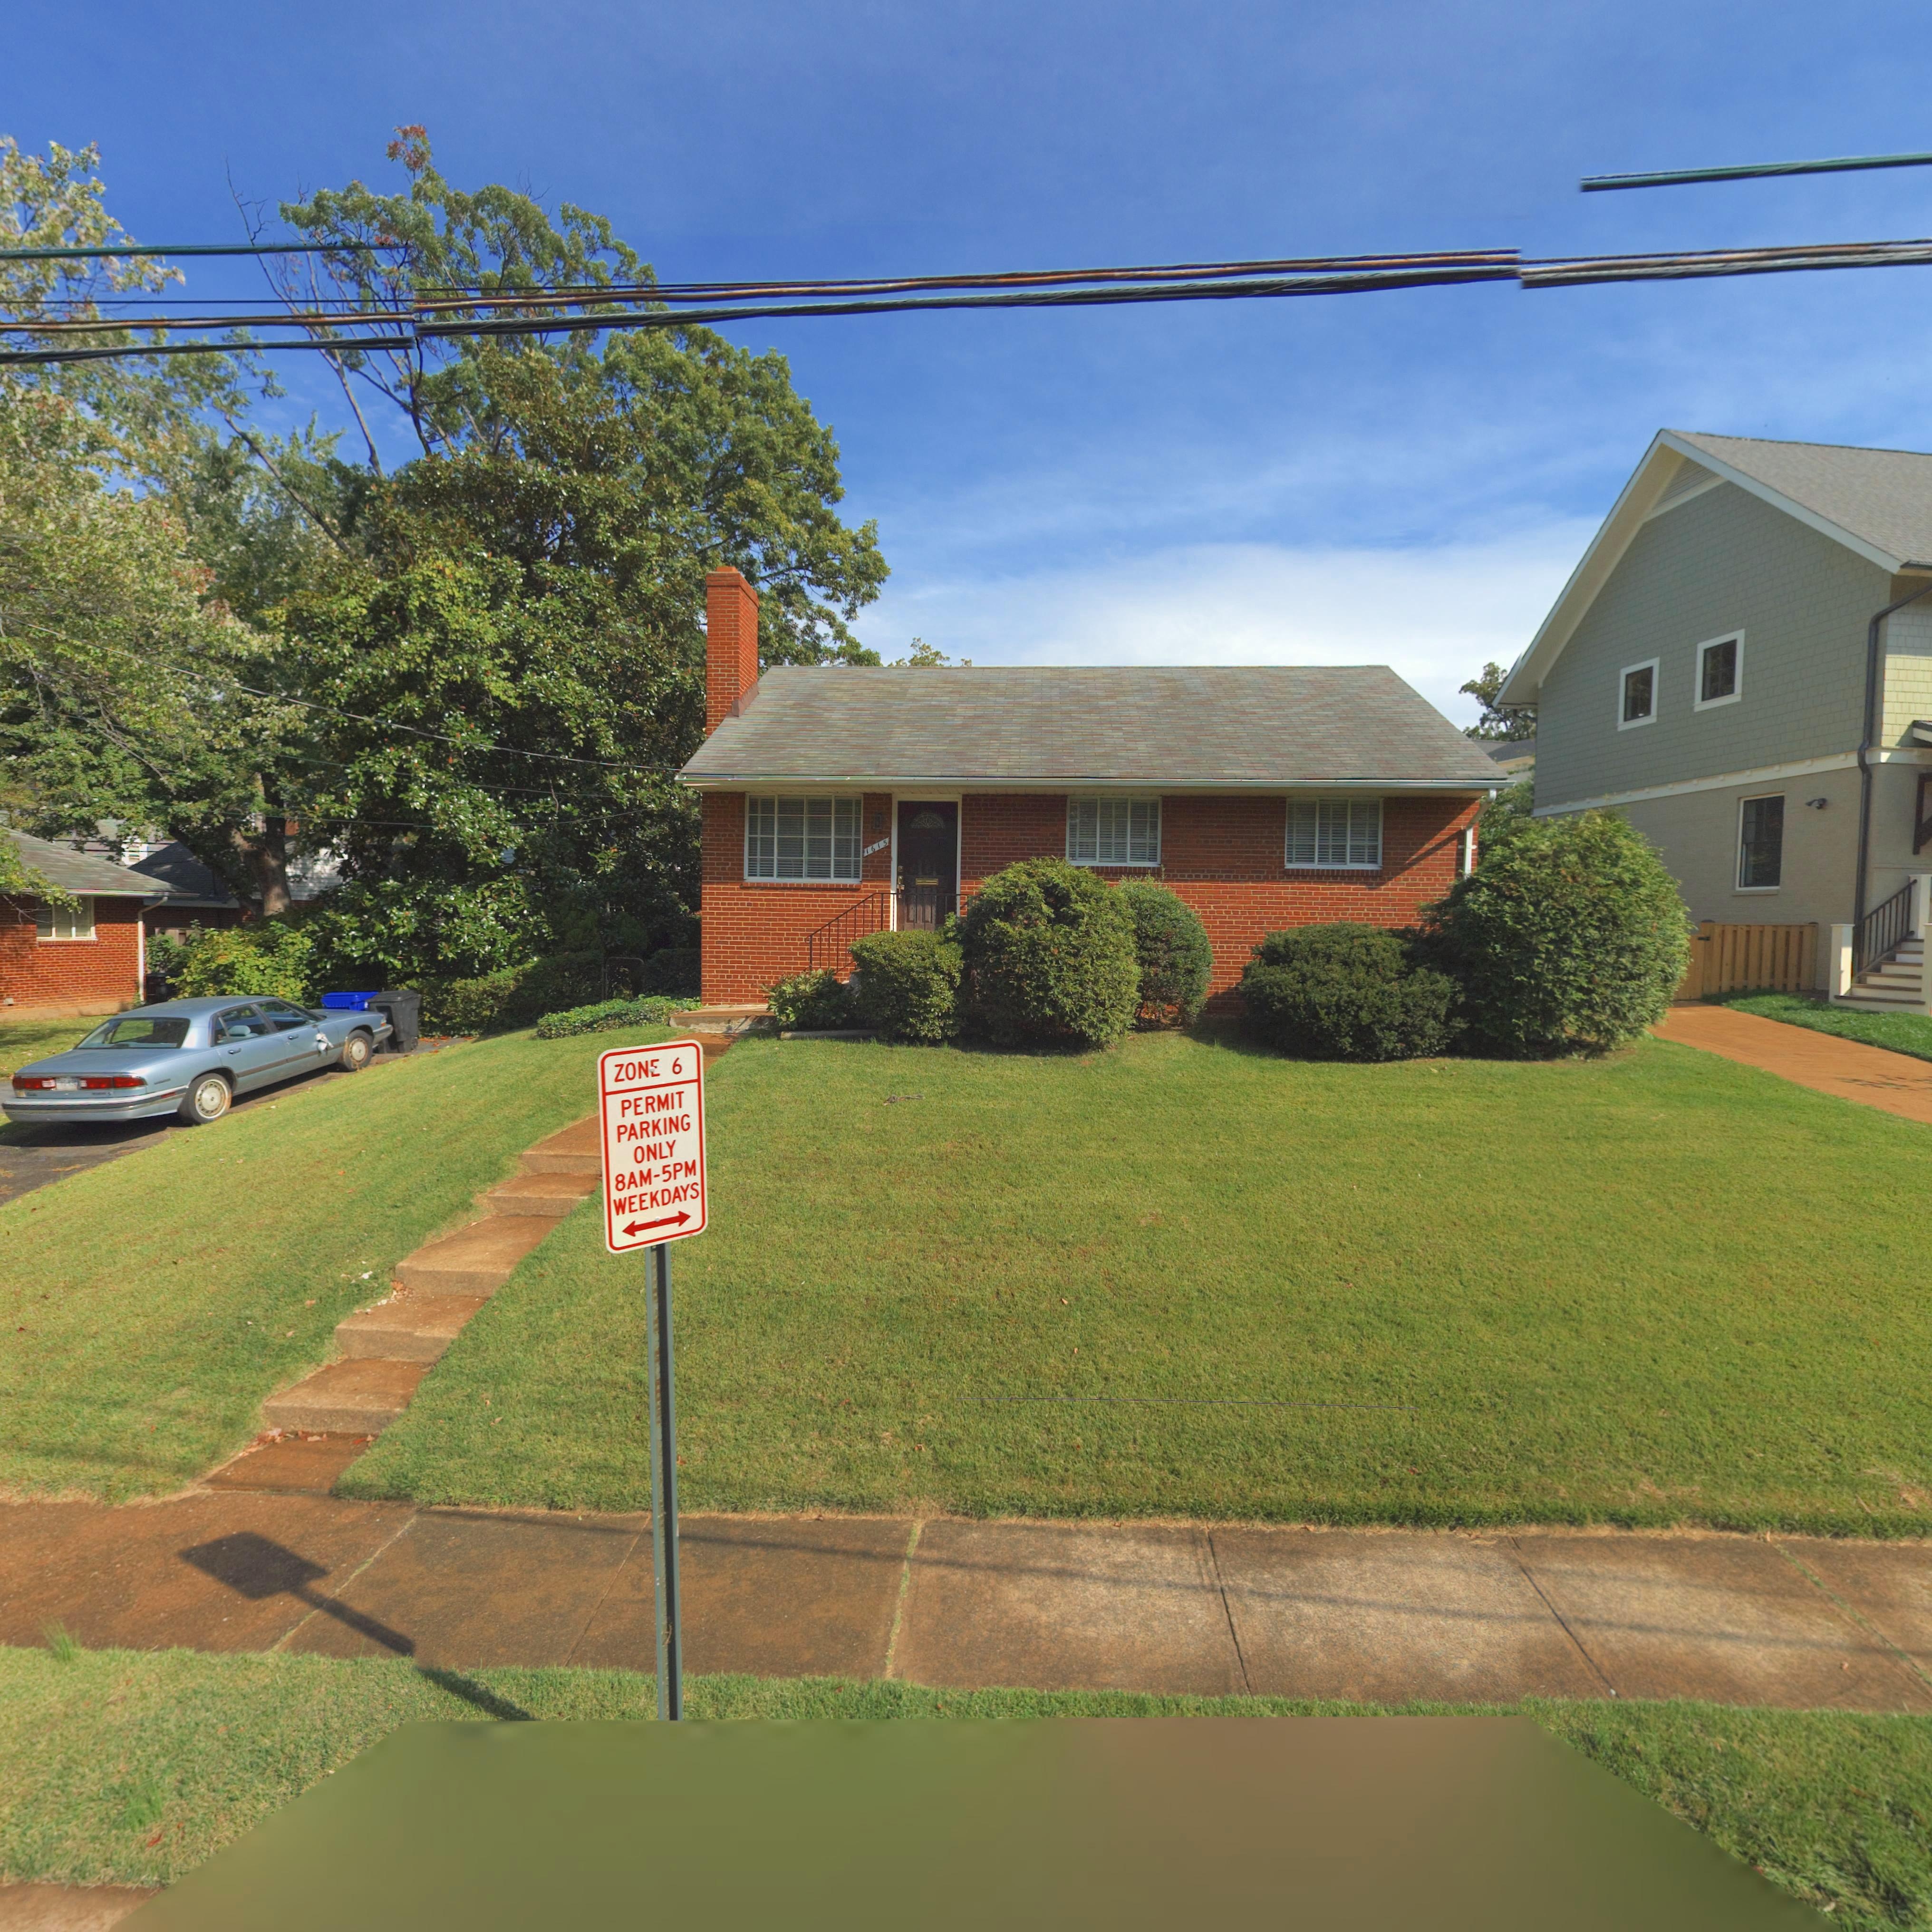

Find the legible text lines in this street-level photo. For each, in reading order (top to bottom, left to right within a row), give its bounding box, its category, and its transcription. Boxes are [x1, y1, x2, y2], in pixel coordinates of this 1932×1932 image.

[865, 838, 888, 857] StreetNumber: 1615
[612, 1055, 685, 1085] None: ZONE 6
[619, 1088, 687, 1120] None: PERMIT
[614, 1112, 693, 1145] None: PARKING
[632, 1137, 677, 1166] None: ONLY
[613, 1157, 698, 1194] None: 8AM-5PM
[610, 1180, 701, 1219] None: WEEKDAYS